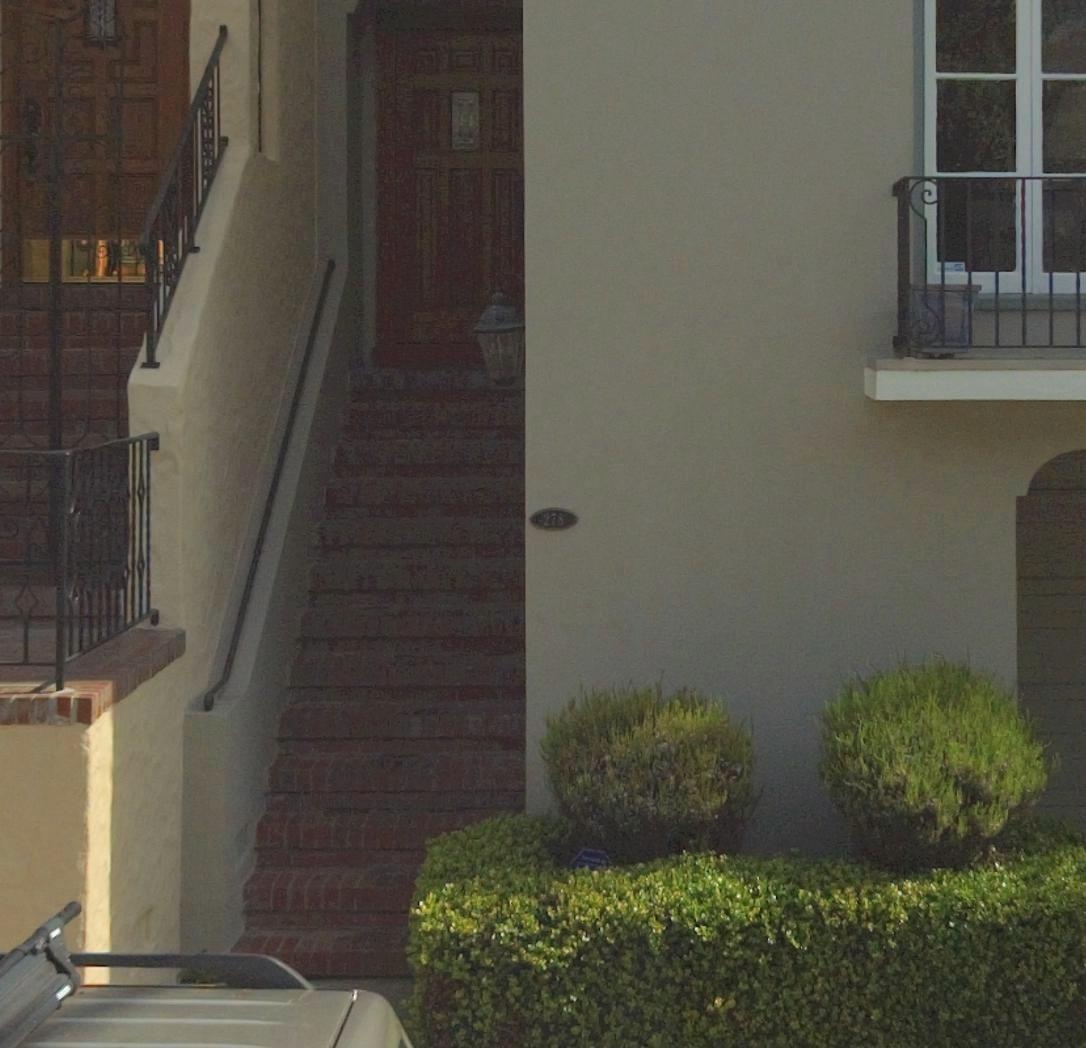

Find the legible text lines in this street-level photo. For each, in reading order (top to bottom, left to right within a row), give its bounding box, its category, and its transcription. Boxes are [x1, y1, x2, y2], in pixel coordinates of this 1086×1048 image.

[541, 510, 566, 529] StreetNumber: 278